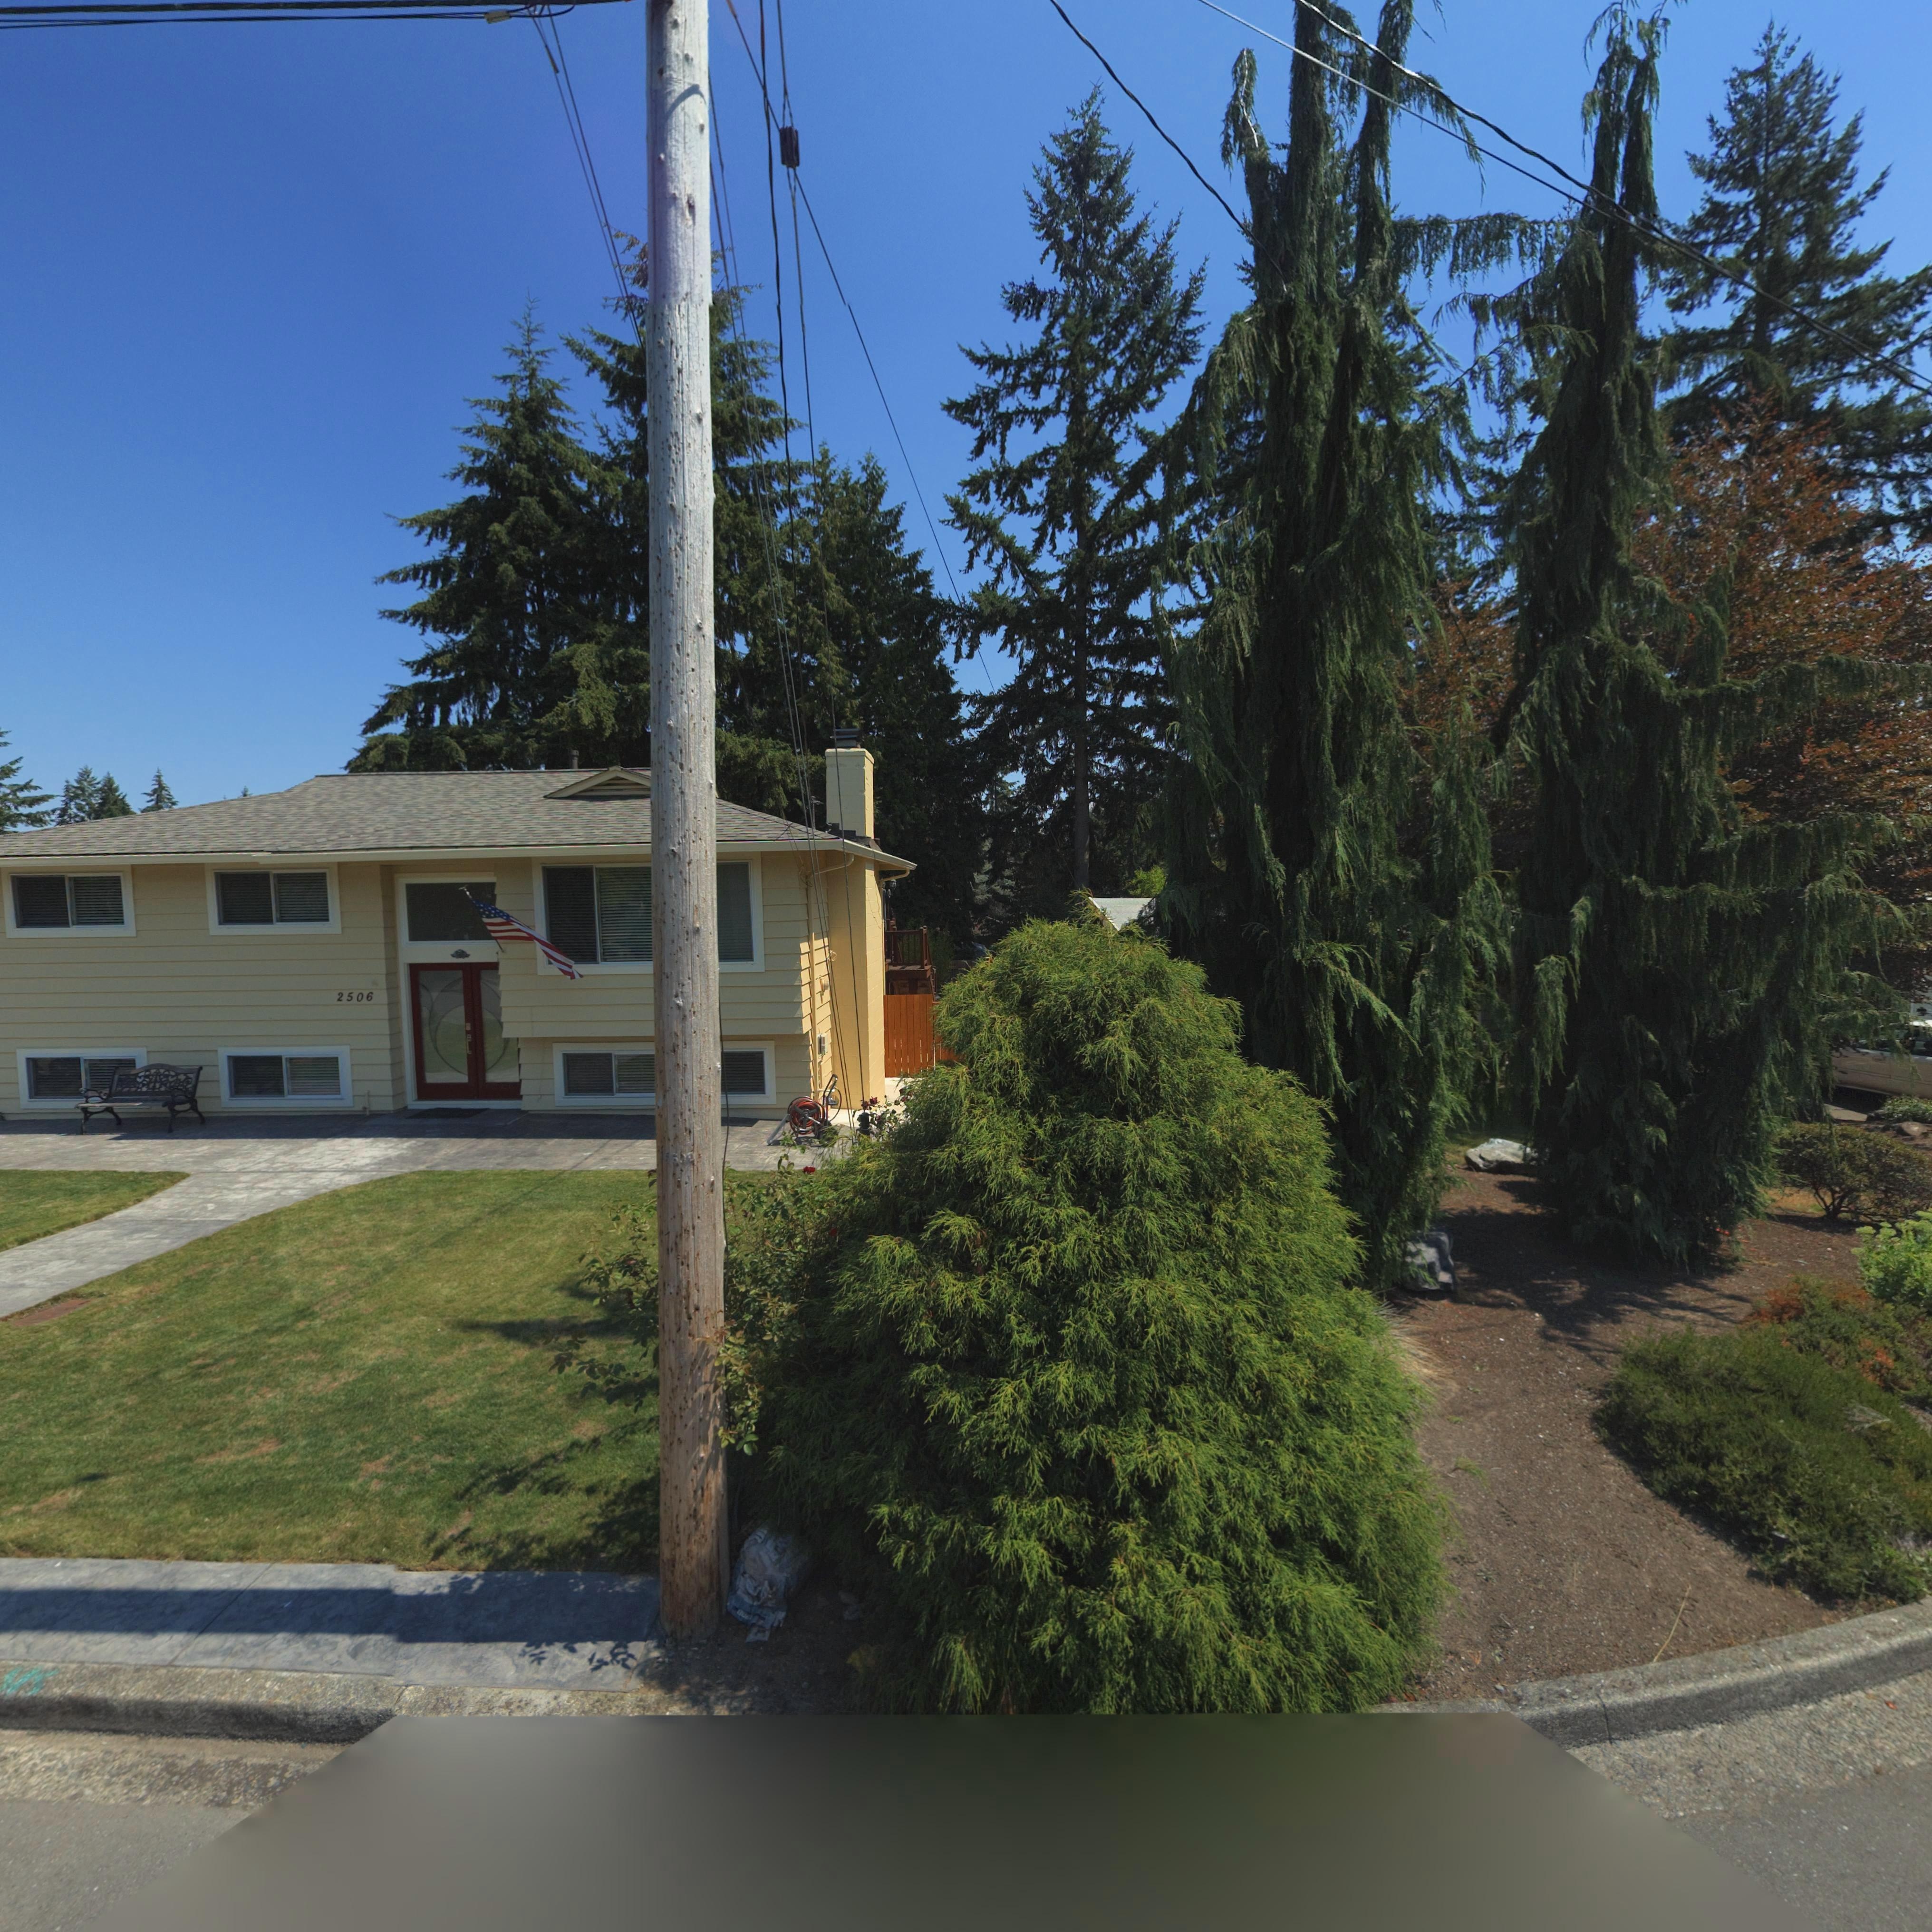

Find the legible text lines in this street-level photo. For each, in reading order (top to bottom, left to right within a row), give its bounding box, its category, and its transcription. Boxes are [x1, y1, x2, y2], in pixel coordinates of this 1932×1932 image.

[338, 992, 372, 1001] StreetNumber: 2506